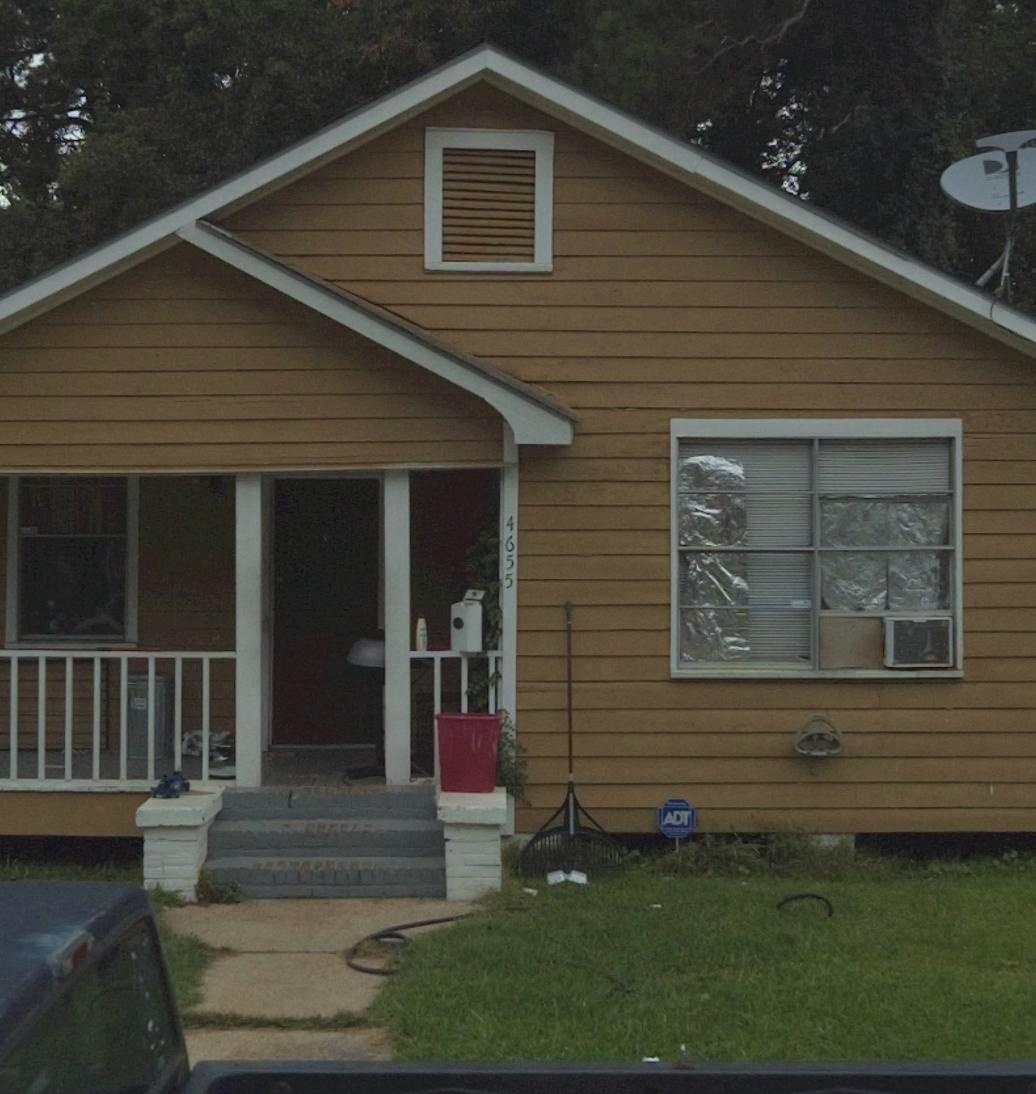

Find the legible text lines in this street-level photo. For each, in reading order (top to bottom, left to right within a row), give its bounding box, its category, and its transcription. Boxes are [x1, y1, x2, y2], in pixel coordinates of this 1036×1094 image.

[503, 515, 516, 590] StreetNumber: 4655
[660, 810, 692, 825] None: ADT